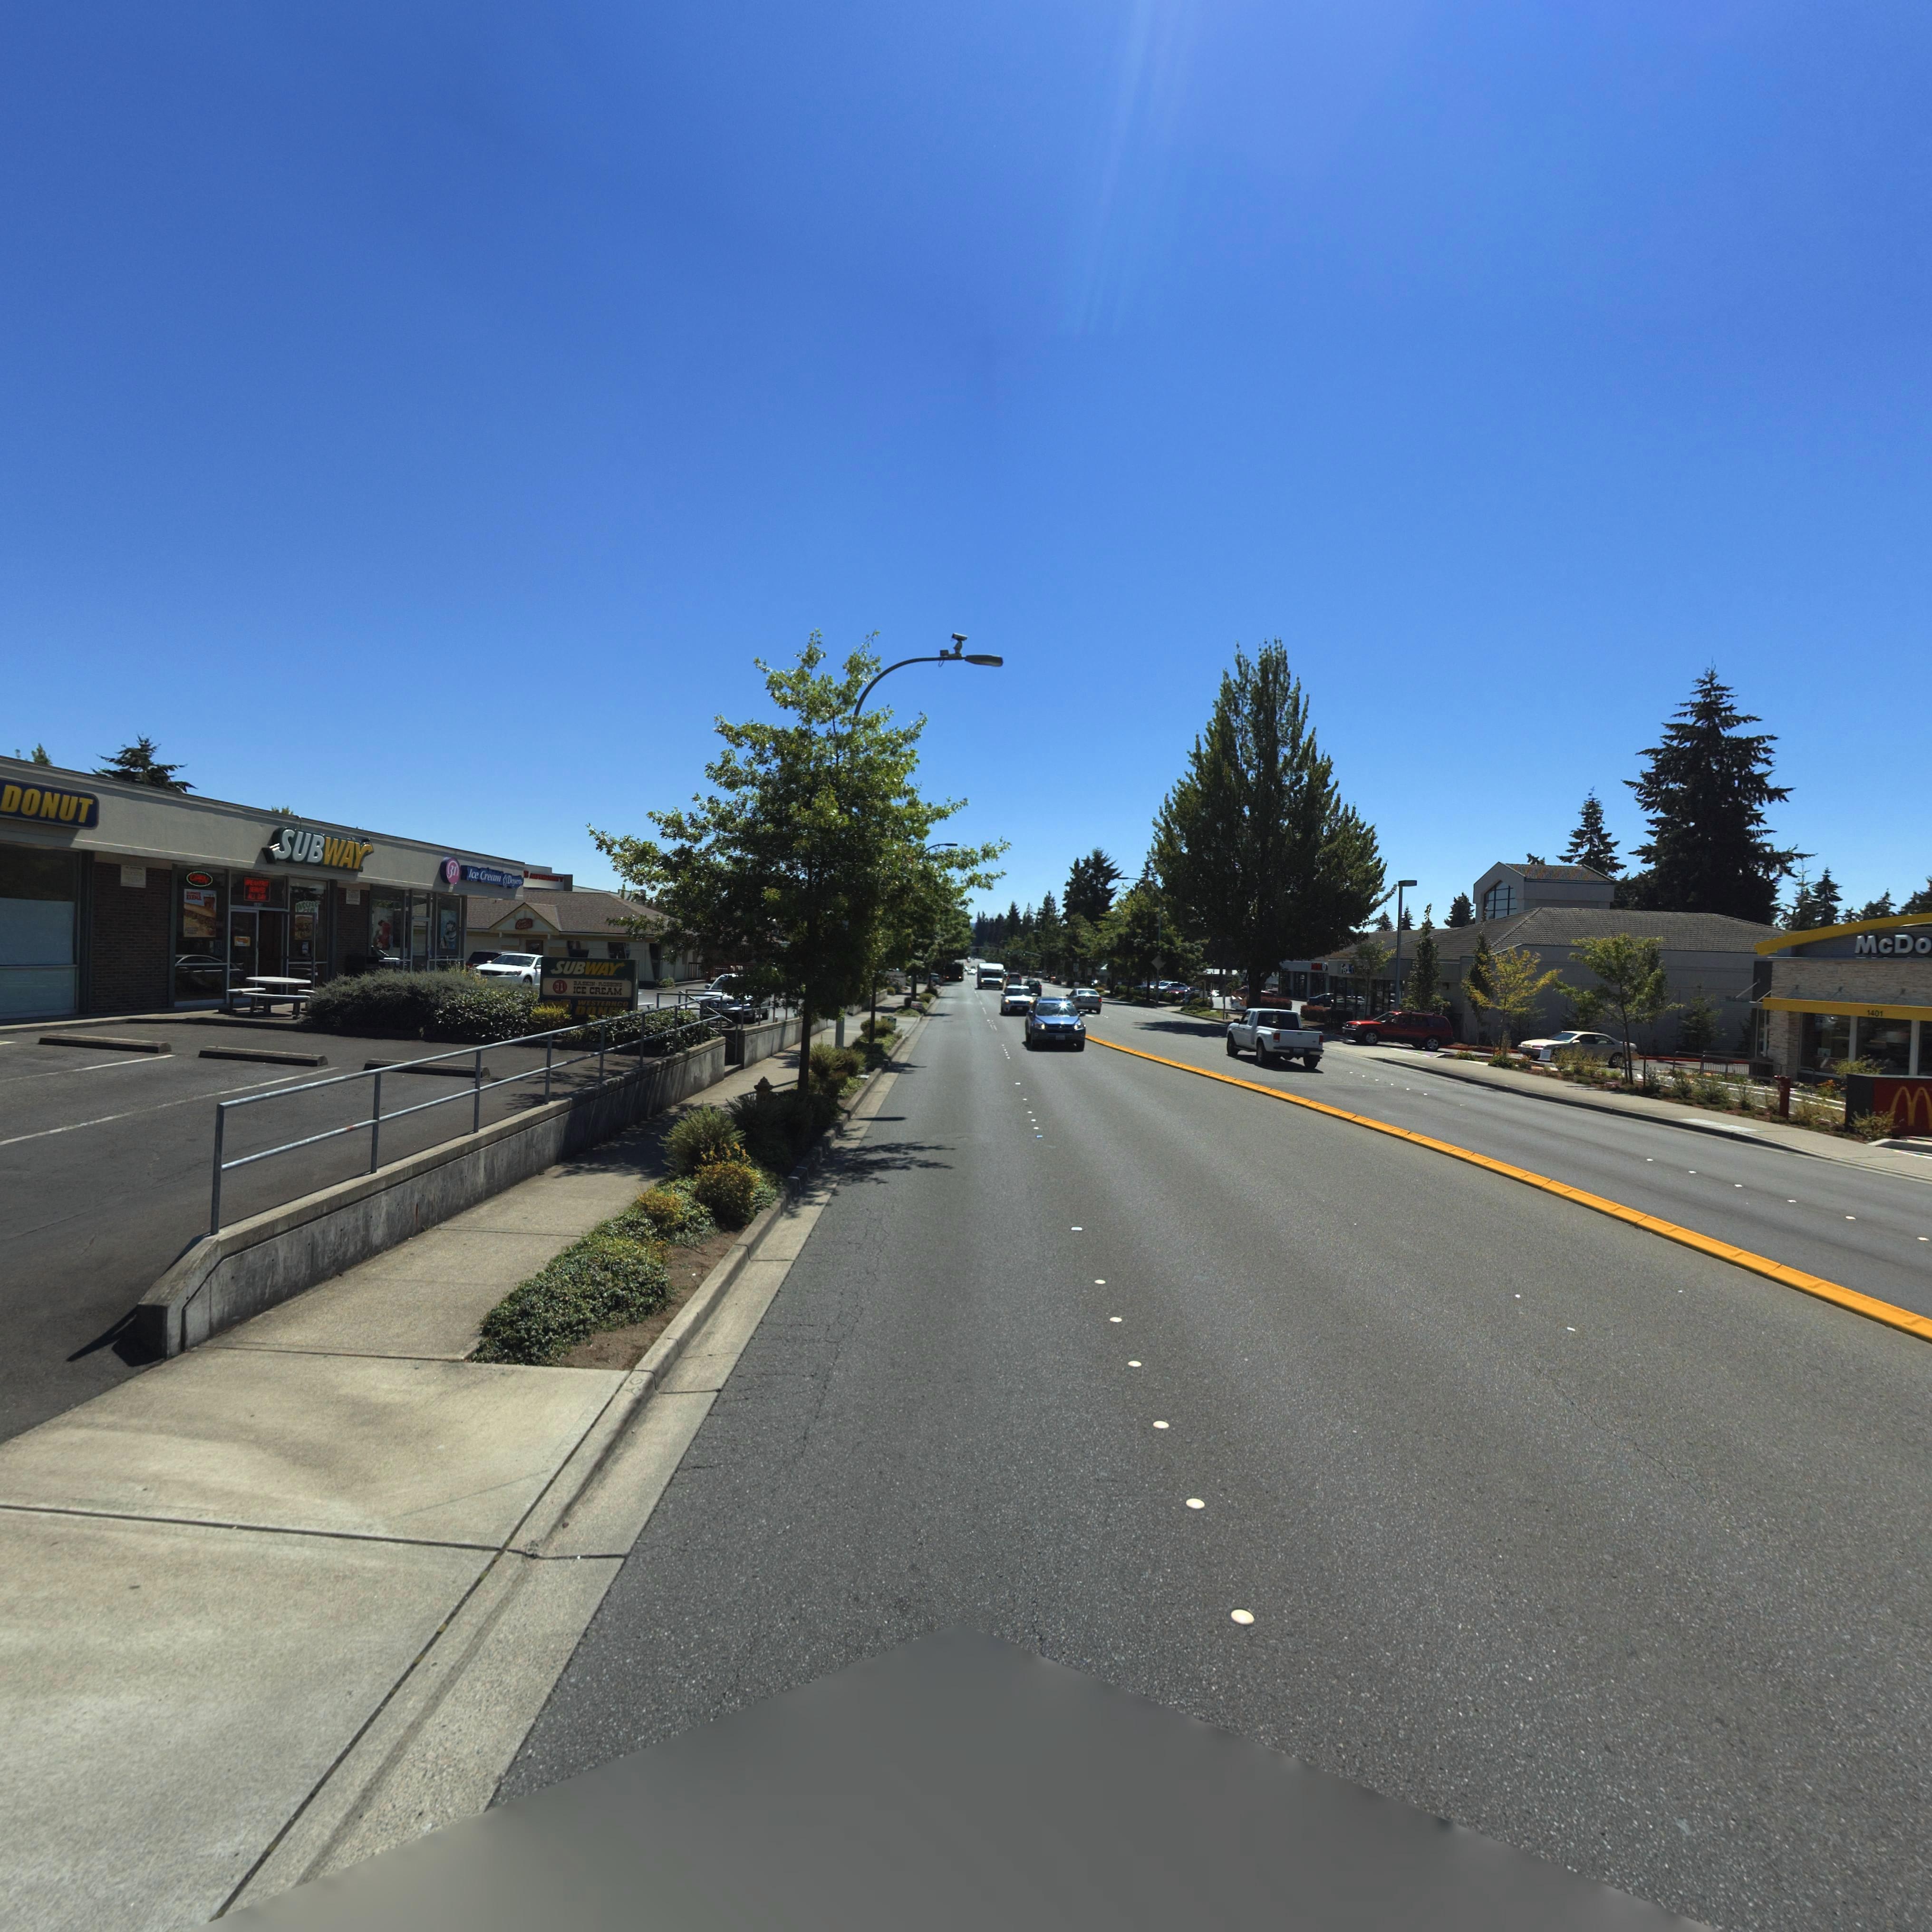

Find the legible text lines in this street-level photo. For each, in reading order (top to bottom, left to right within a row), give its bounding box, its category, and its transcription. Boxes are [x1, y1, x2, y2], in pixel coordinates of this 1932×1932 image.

[0, 784, 93, 823] BusinessName: DONUT
[264, 826, 376, 871] BusinessName: SUBWAY
[446, 858, 523, 887] BusinessName: Ice Cream * Desserts
[1853, 933, 1932, 954] BusinessName: McDo
[549, 960, 627, 976] BusinessName: SUBWAY
[1340, 963, 1355, 974] BusinessName: FedEx
[553, 980, 624, 996] None: ICE CREAM
[1866, 1009, 1883, 1017] StreetNumber: 1401